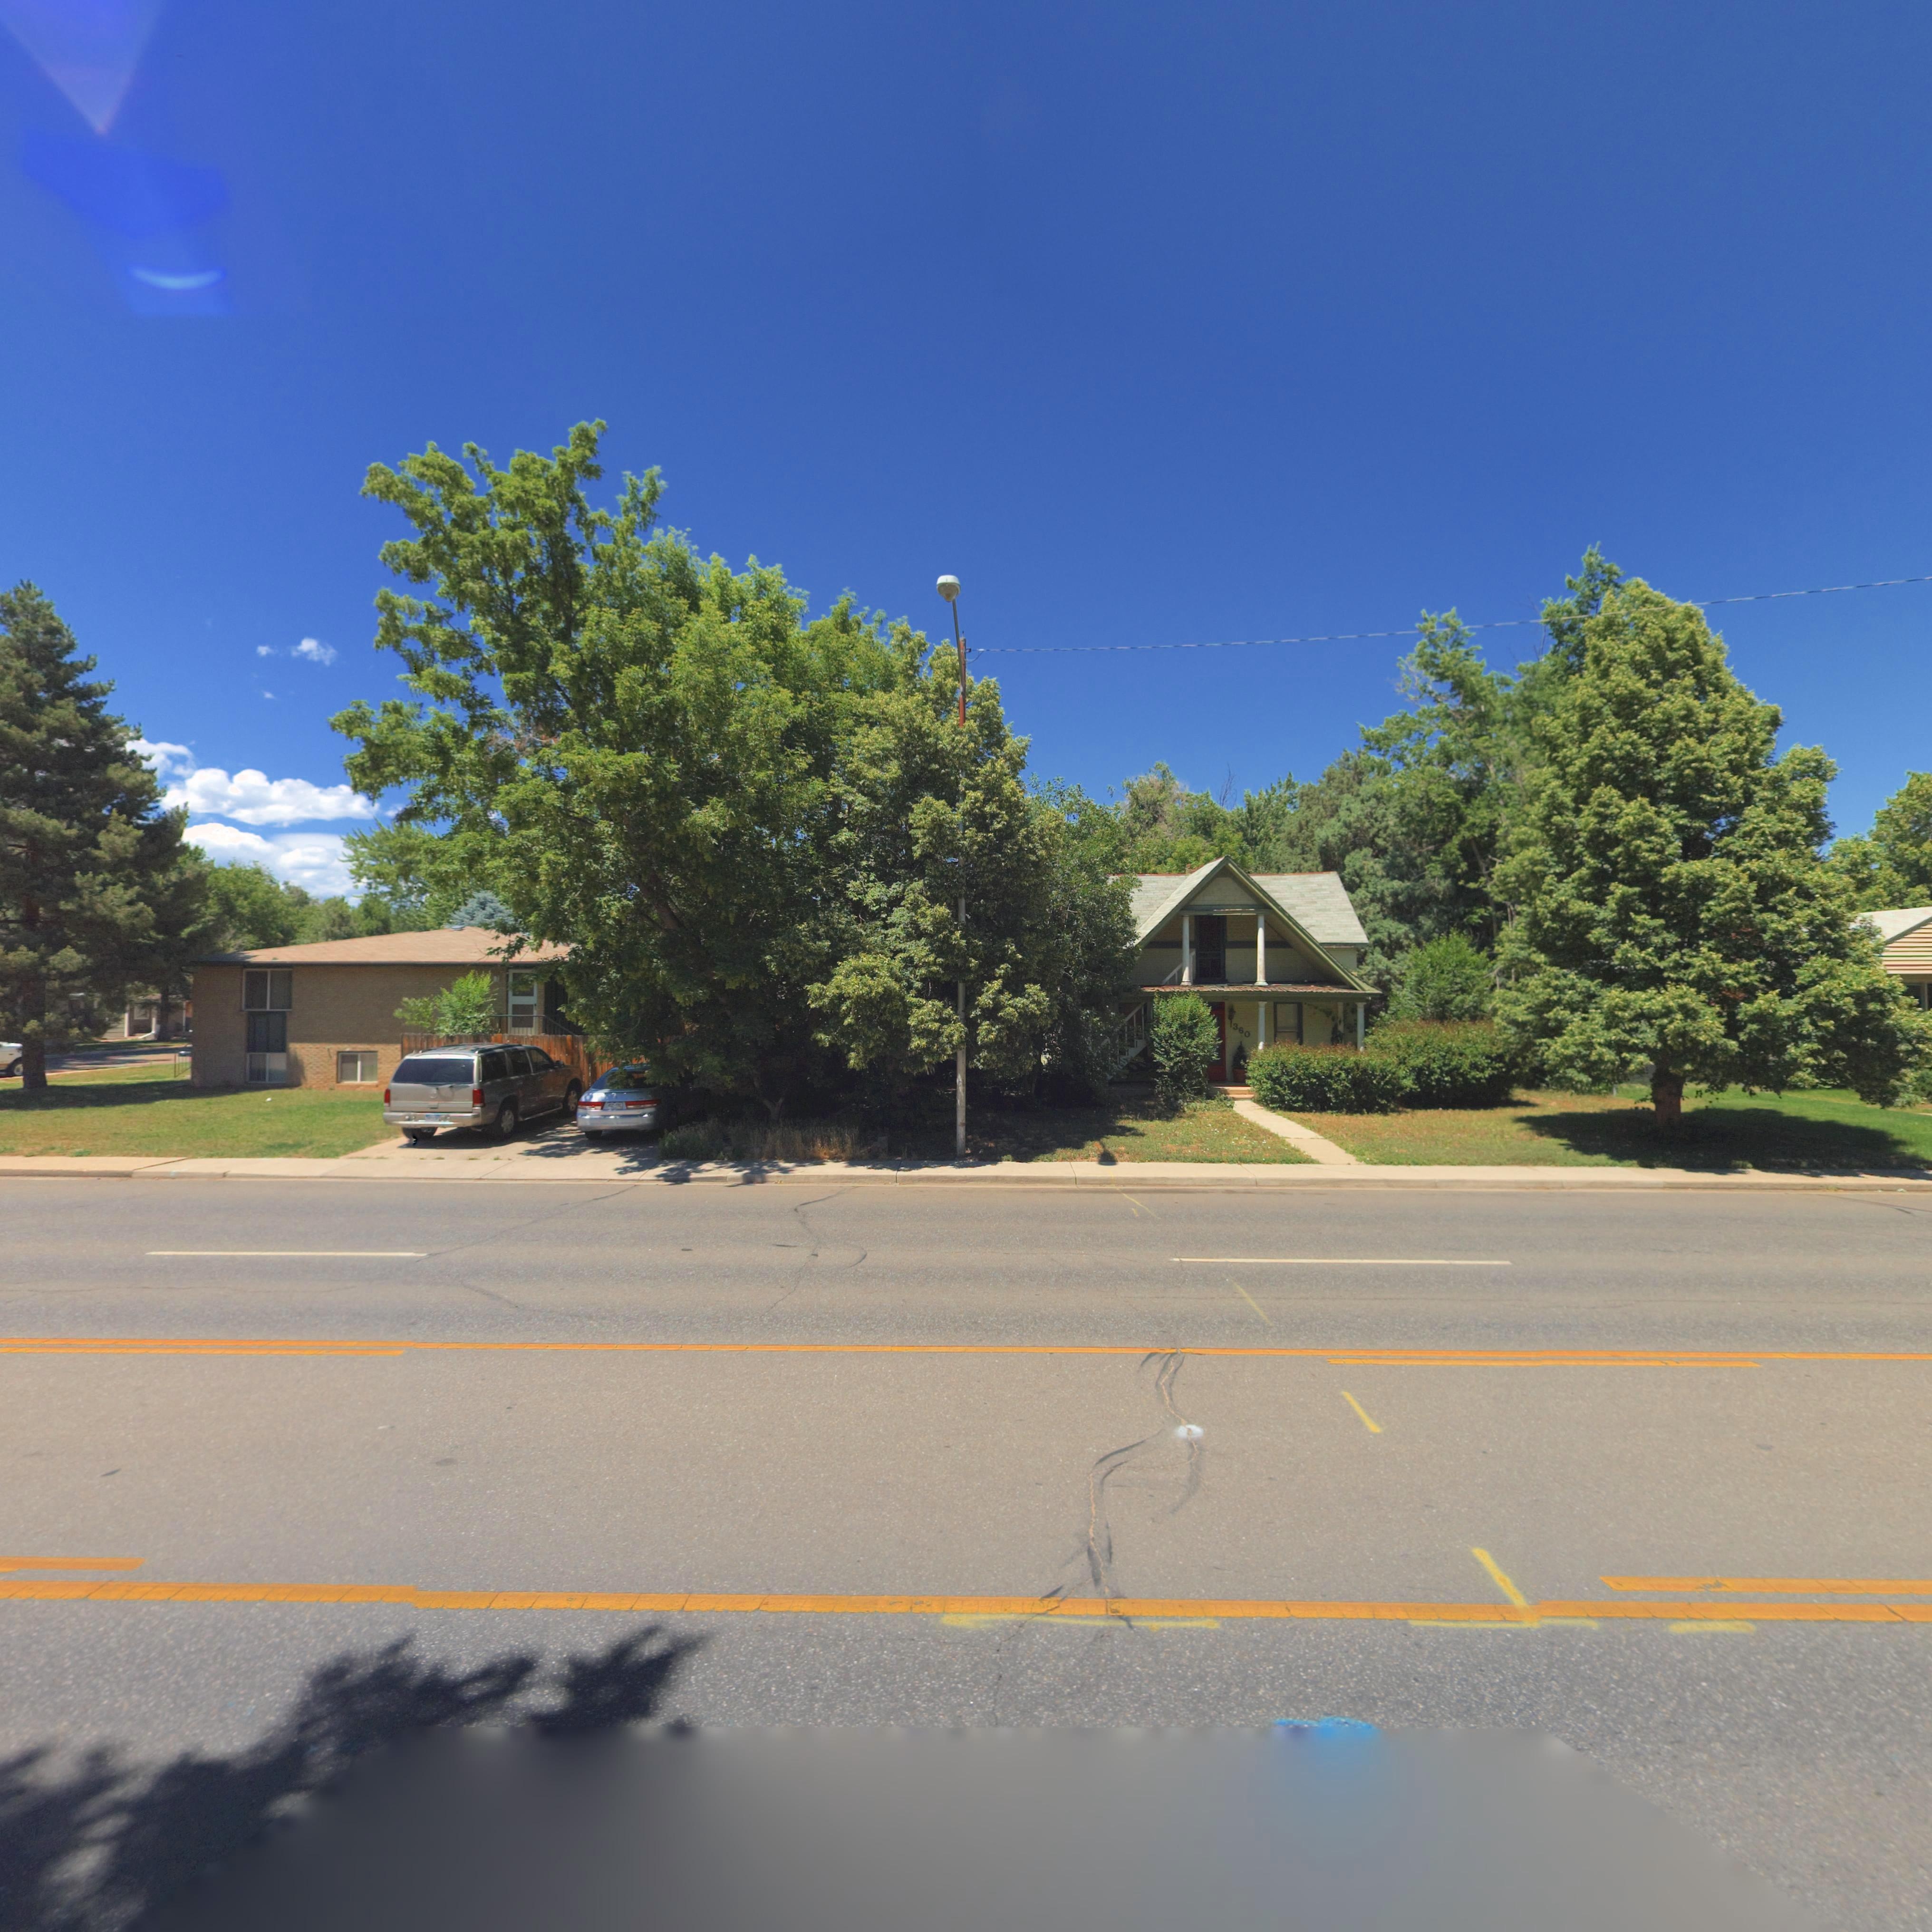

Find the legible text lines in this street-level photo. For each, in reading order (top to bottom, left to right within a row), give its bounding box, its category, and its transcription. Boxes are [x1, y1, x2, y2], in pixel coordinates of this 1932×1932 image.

[1232, 1022, 1251, 1038] StreetNumber: 360